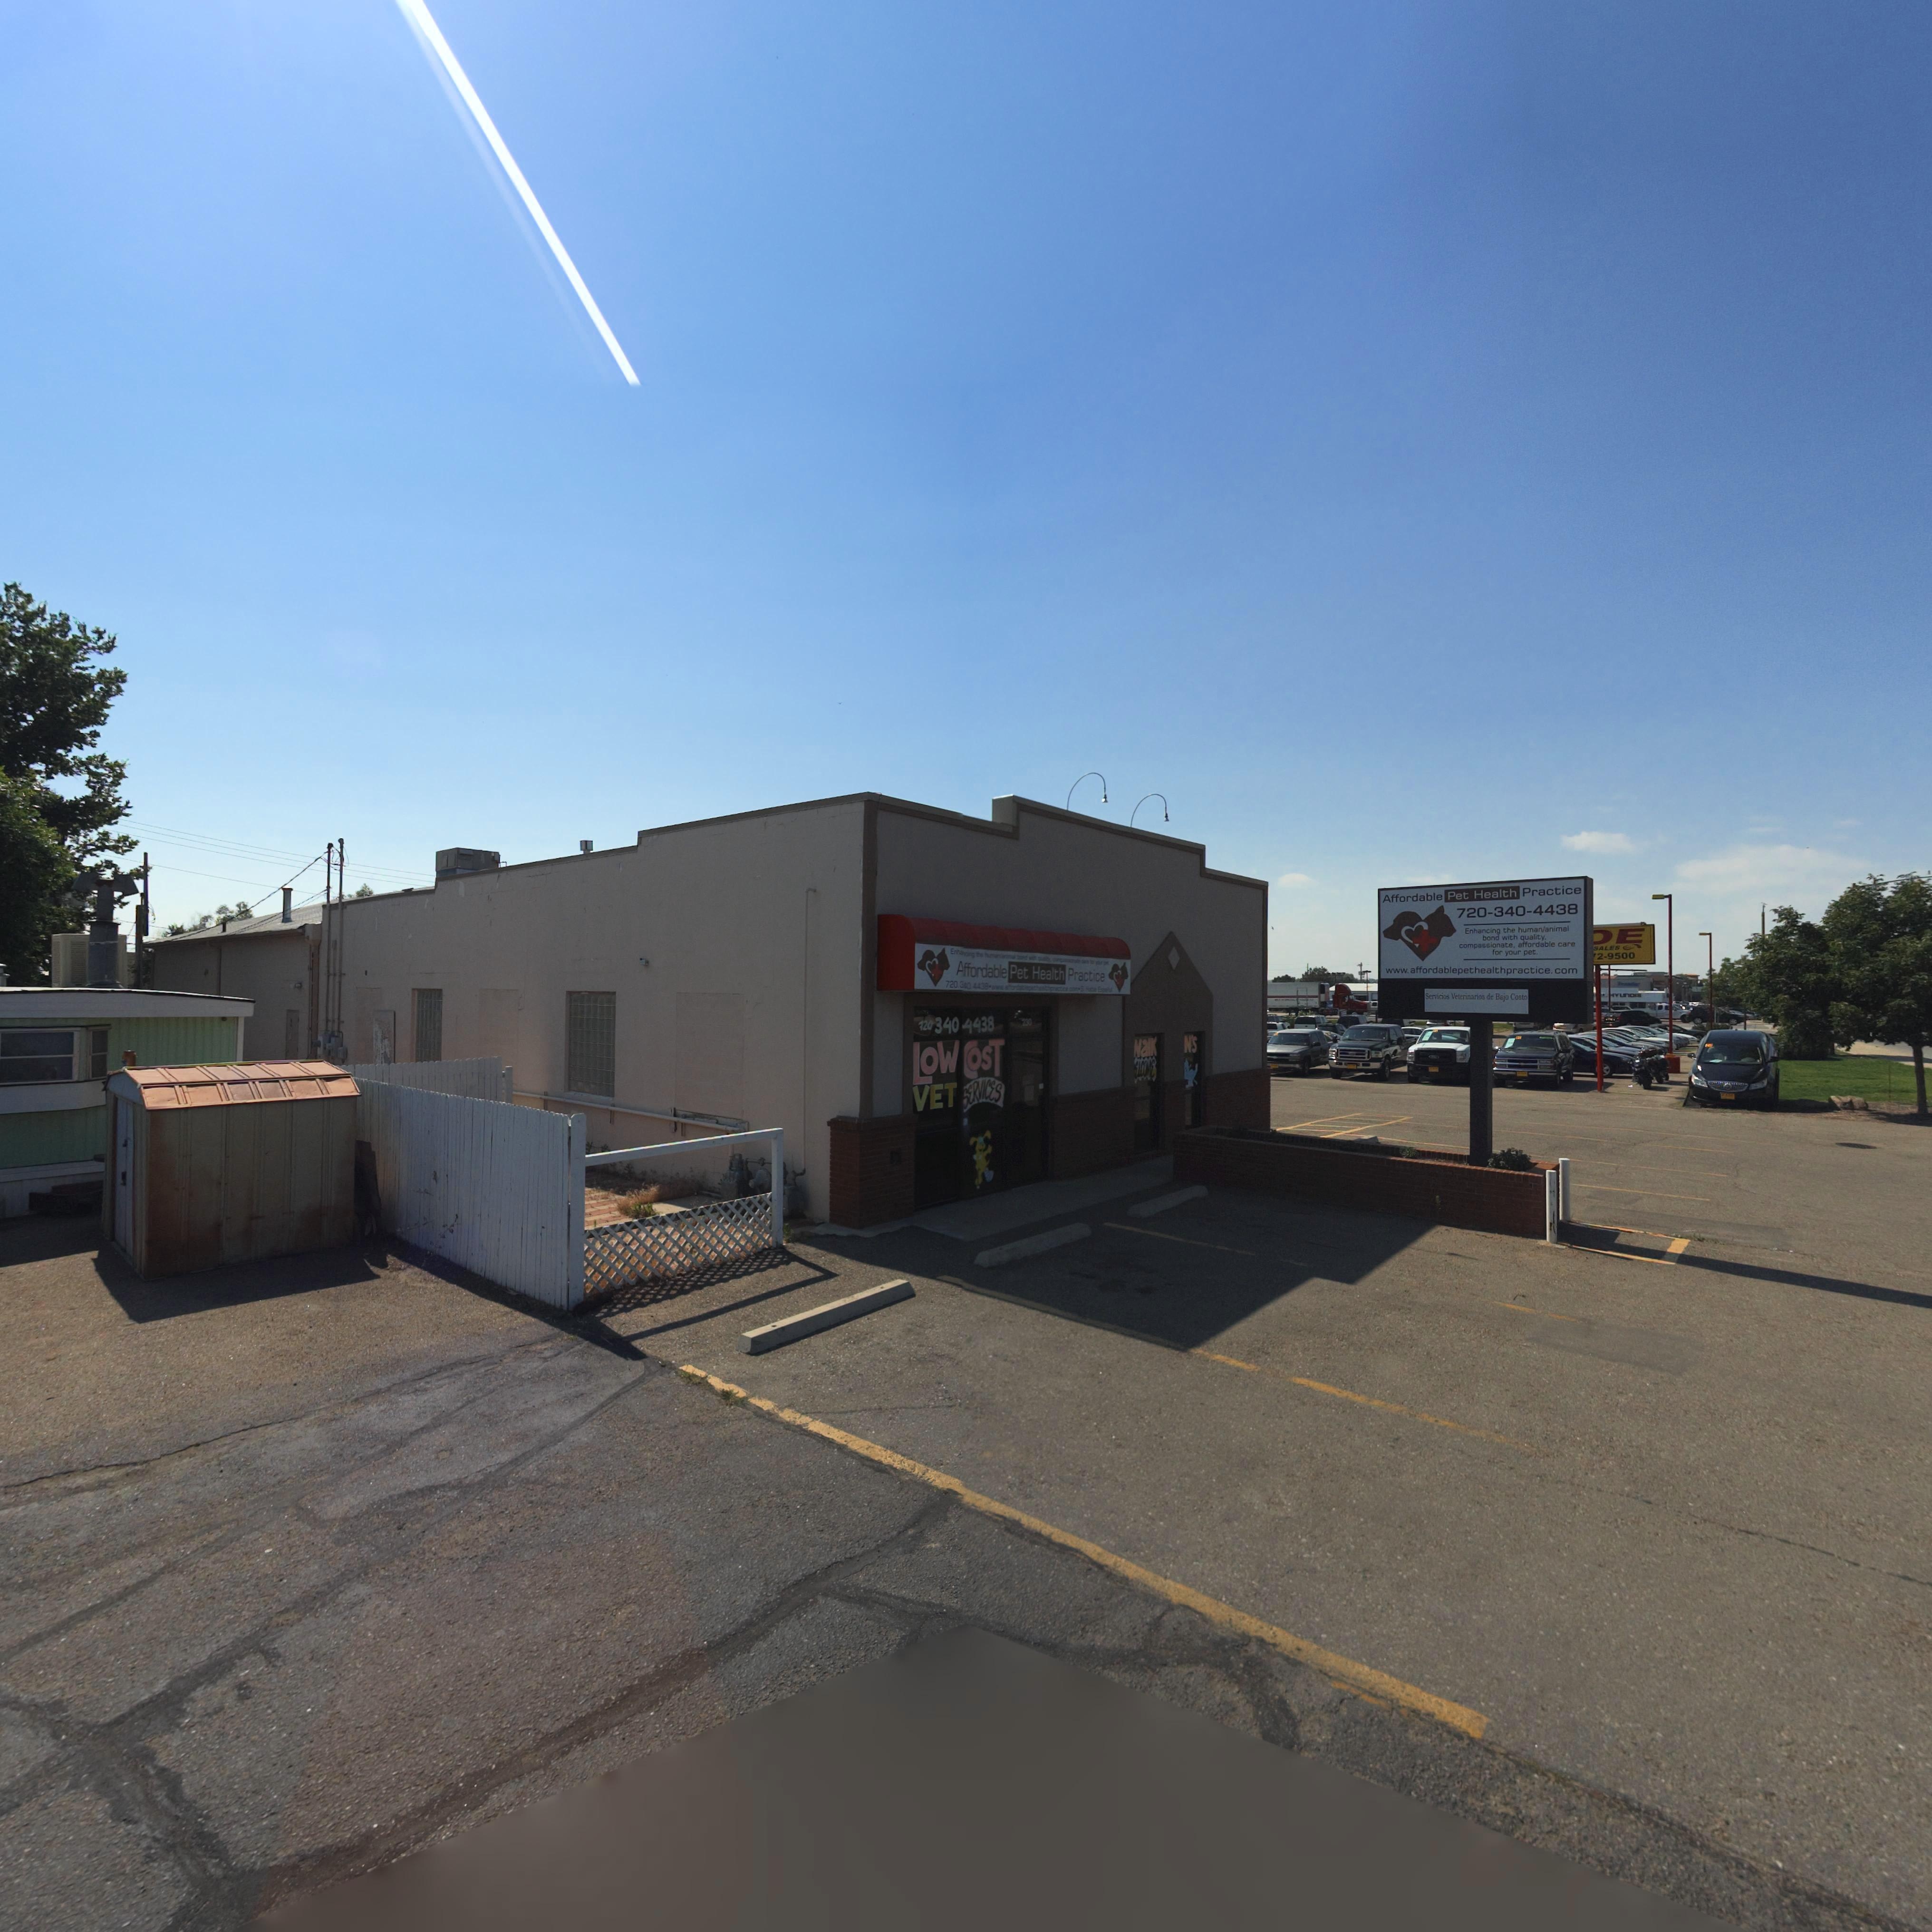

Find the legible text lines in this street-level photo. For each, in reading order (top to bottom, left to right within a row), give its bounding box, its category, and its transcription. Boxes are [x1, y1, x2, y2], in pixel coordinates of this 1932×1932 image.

[1381, 884, 1583, 903] BusinessName: Affordable Pet Health Practice
[1594, 927, 1646, 945] BusinessName: *E
[1593, 945, 1620, 950] BusinessName: *ALES
[955, 959, 1106, 983] BusinessName: Affordable Pet Health Practice
[1611, 992, 1642, 997] BusinessName: *YUnD**